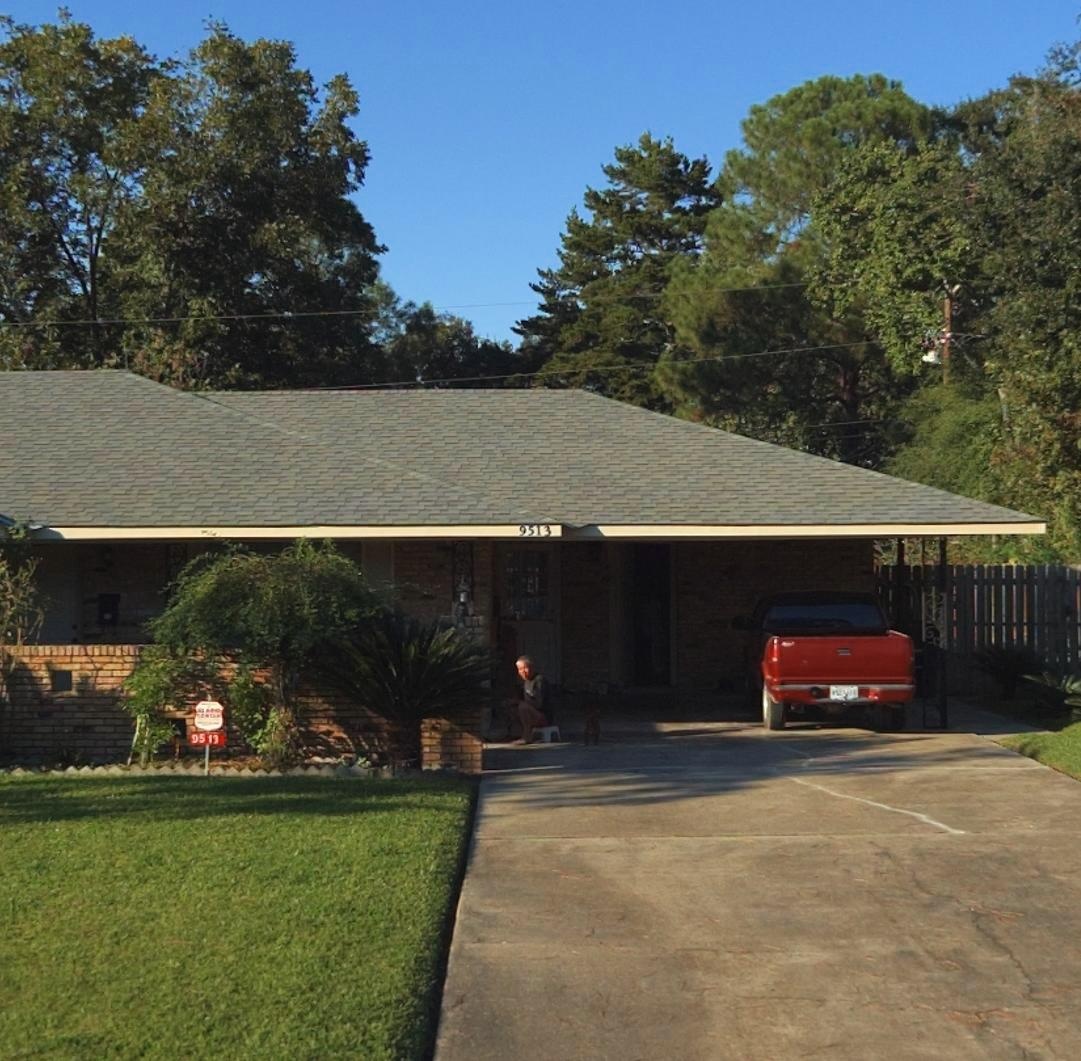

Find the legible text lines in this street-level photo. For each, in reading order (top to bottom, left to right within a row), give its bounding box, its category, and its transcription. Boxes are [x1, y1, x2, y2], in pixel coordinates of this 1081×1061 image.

[518, 524, 553, 538] StreetNumber: 9513
[190, 732, 220, 745] StreetNumber: 9513